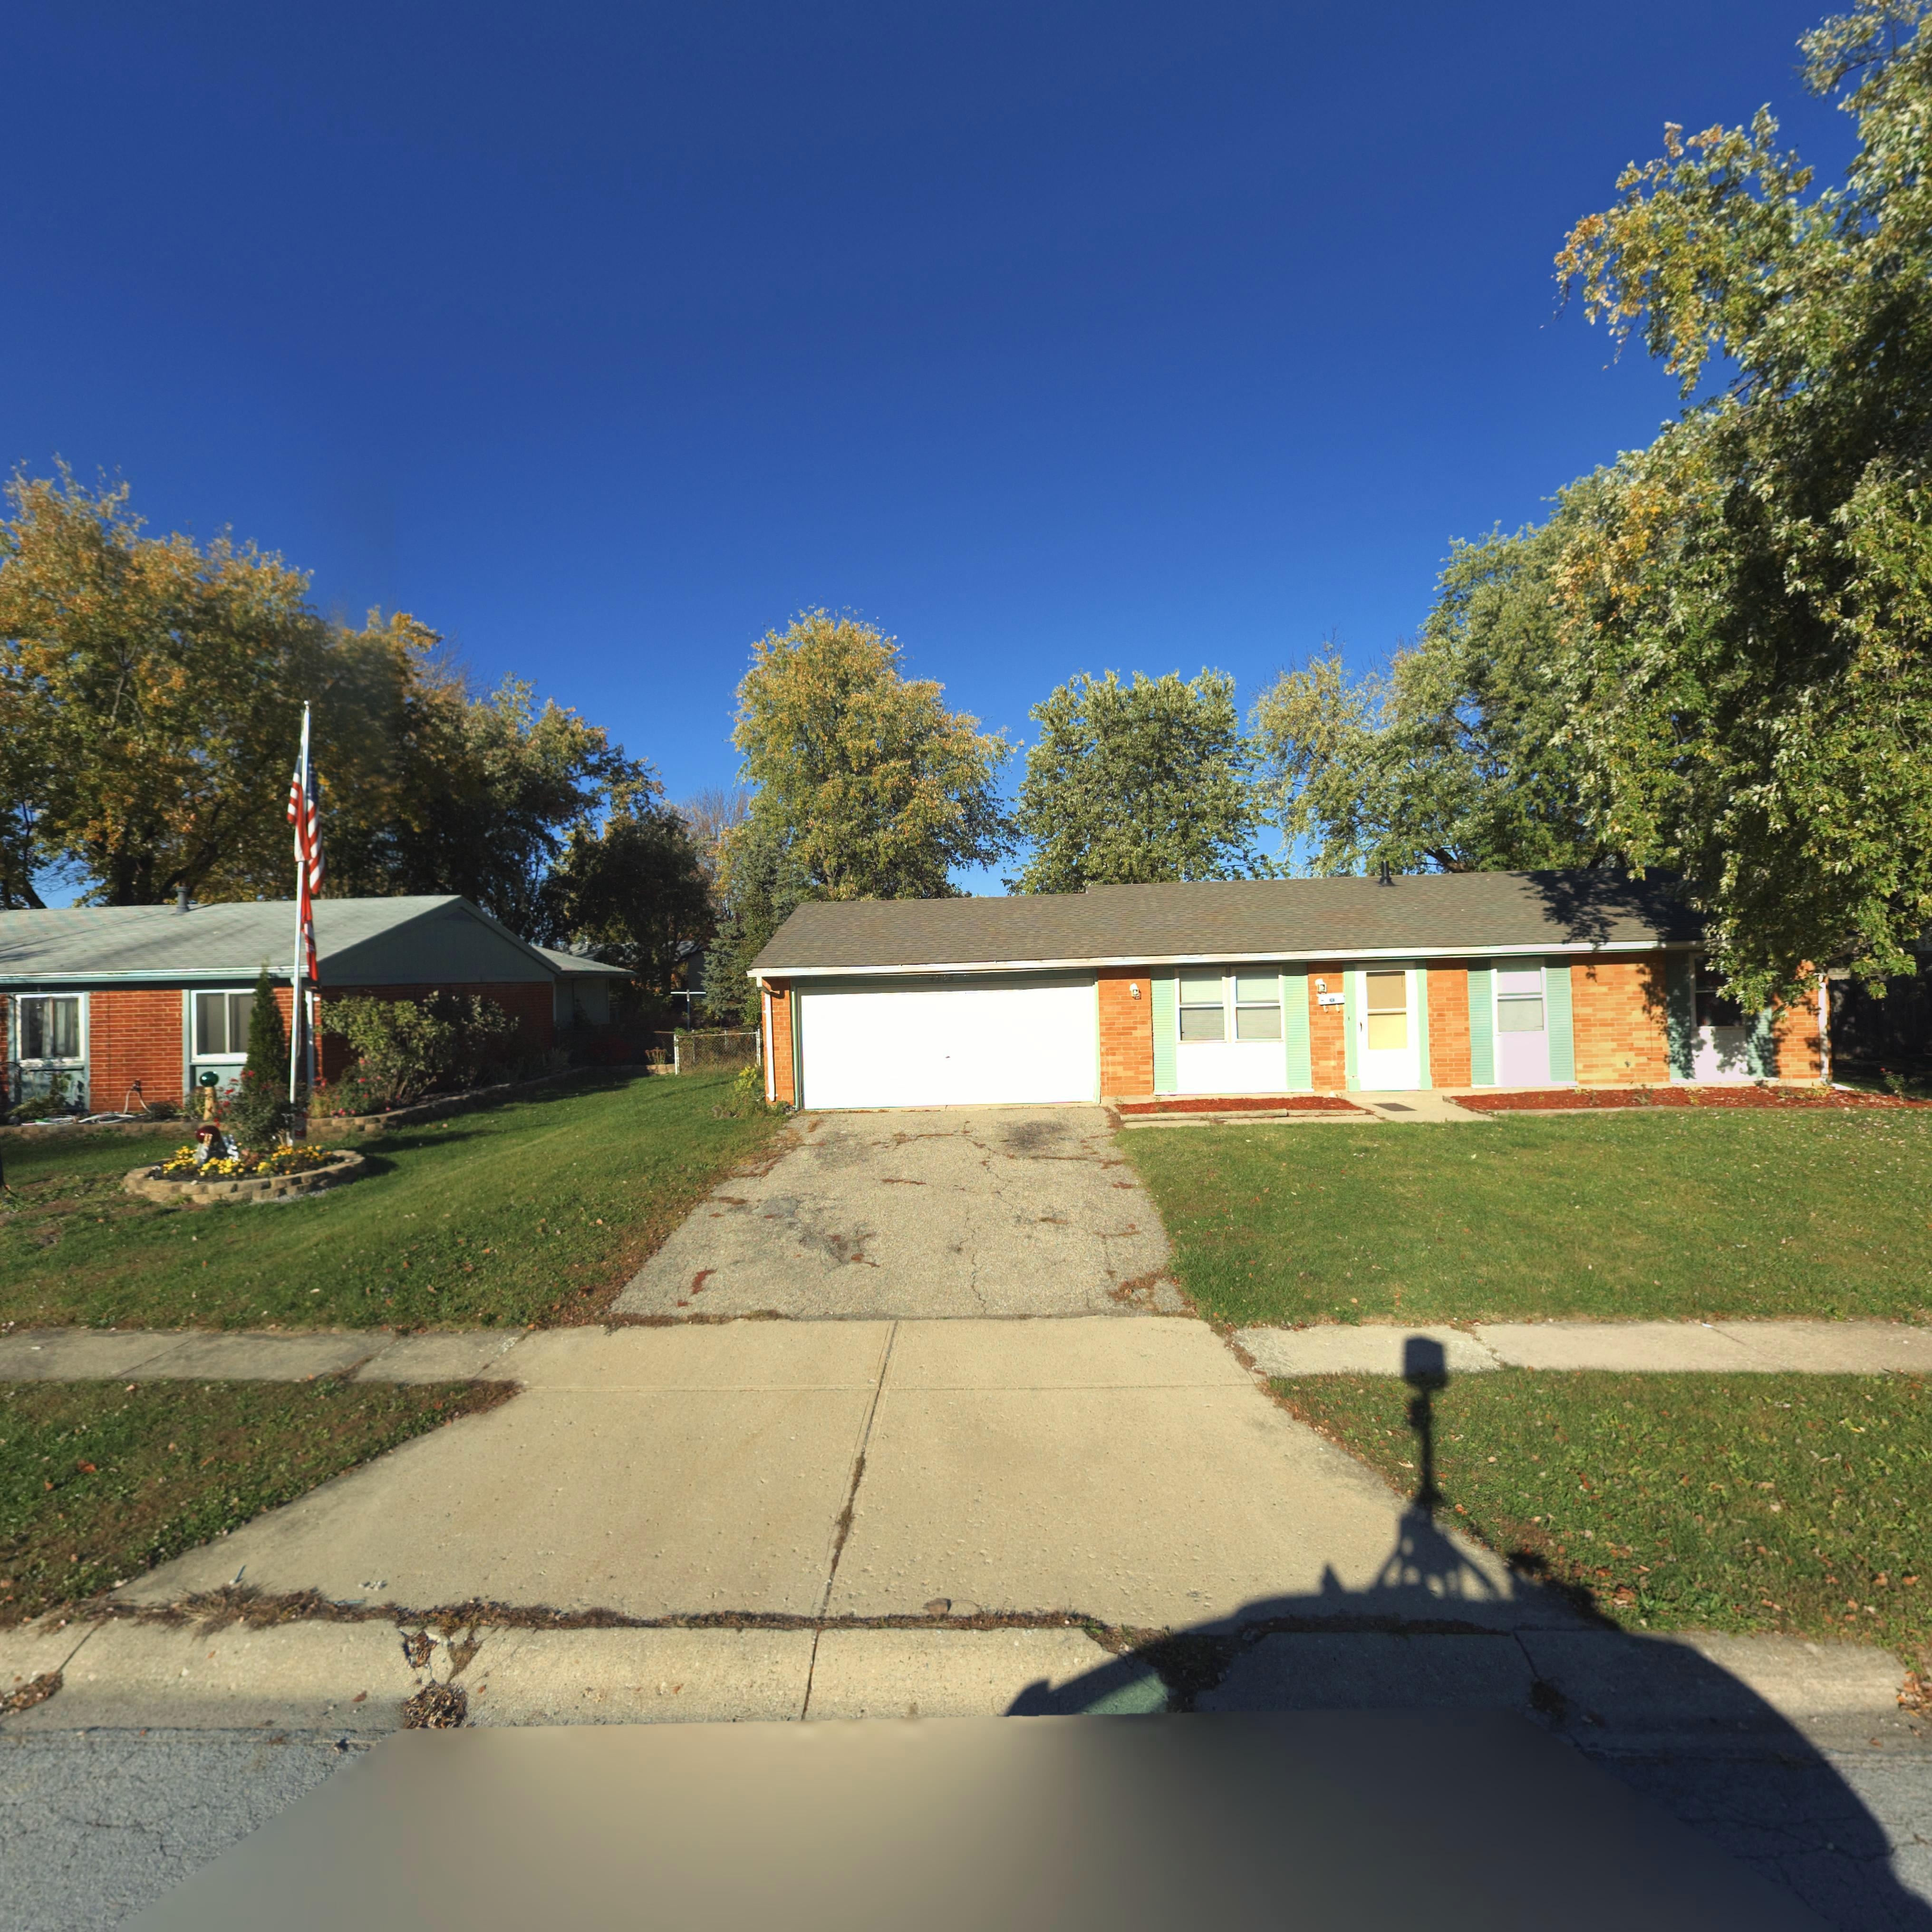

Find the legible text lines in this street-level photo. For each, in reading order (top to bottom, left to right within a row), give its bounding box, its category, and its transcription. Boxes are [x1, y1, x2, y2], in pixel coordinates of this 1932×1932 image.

[929, 974, 955, 983] StreetNumber: 4525